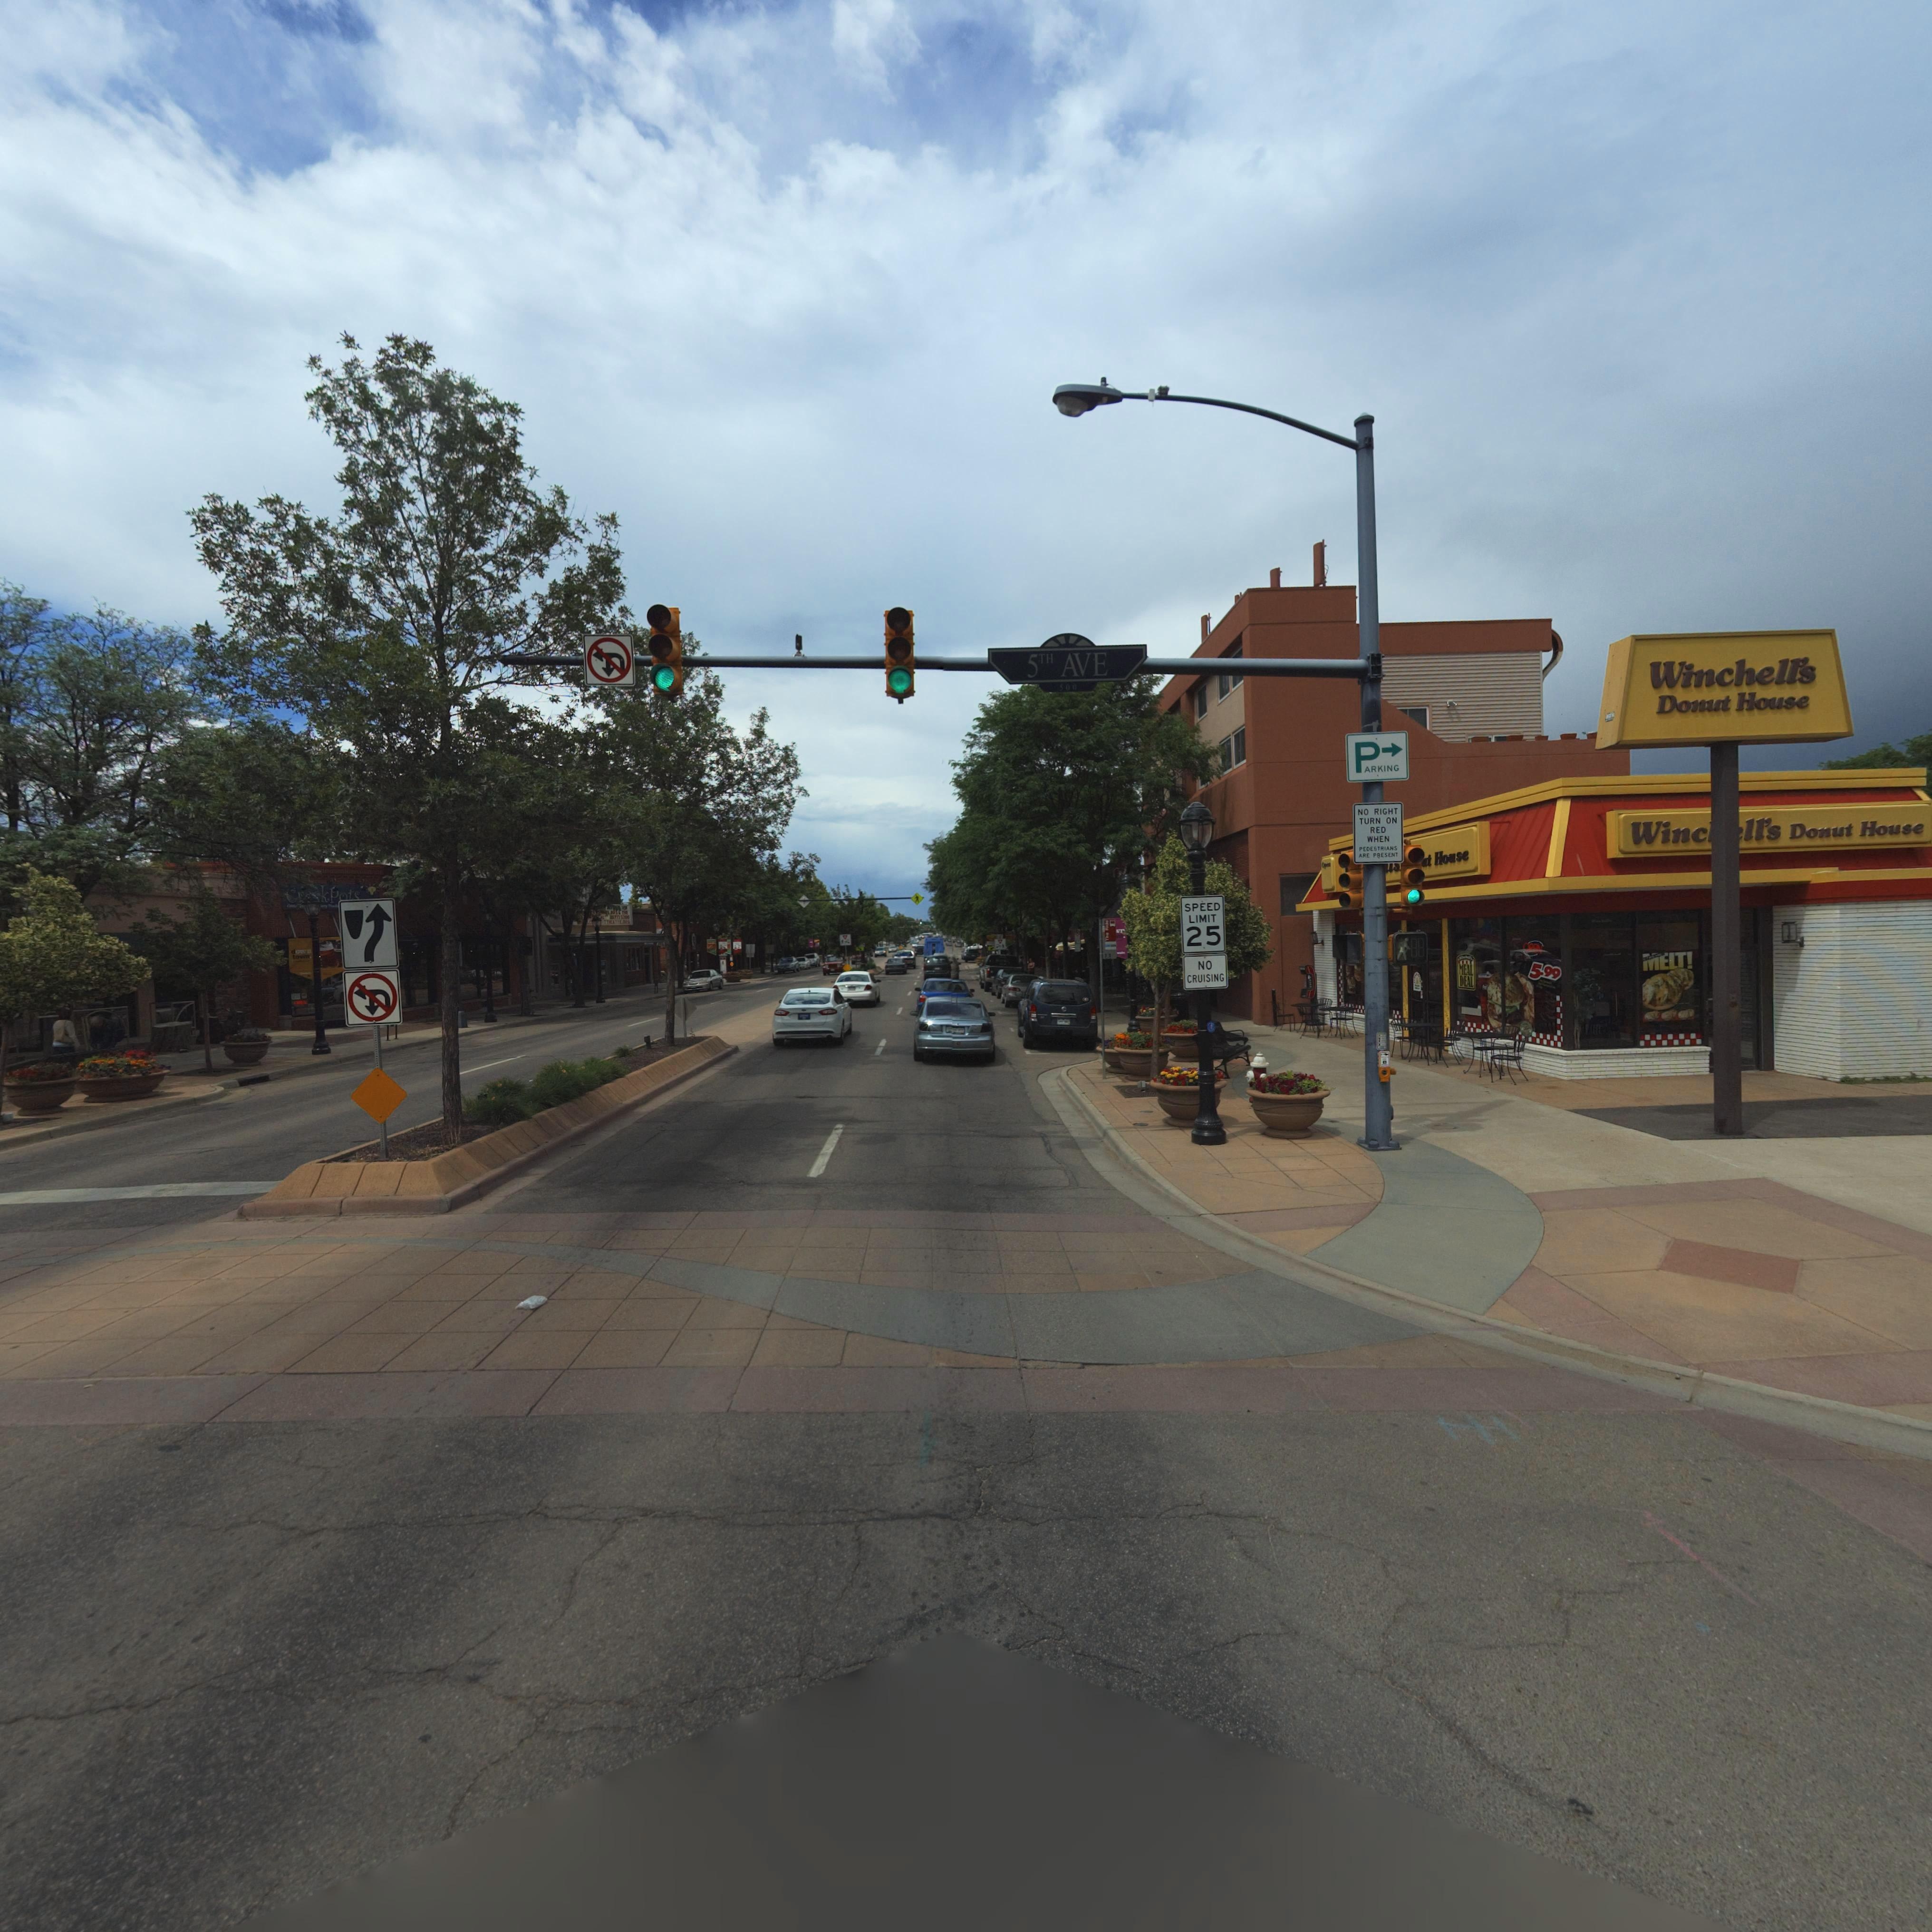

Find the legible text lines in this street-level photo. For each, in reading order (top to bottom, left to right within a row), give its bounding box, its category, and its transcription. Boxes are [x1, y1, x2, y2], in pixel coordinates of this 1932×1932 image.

[1026, 651, 1108, 678] StreetName: 5TH AVE
[1648, 655, 1817, 690] BusinessName: Winchell's
[1059, 683, 1077, 691] StreetNumberRange: 500
[1655, 691, 1810, 715] BusinessName: Donut House
[1630, 816, 1925, 846] BusinessName: Winc**ll's Donut House
[1368, 849, 1470, 876] BusinessName: ********* ****t House
[284, 884, 361, 904] BusinessName: C***kPots